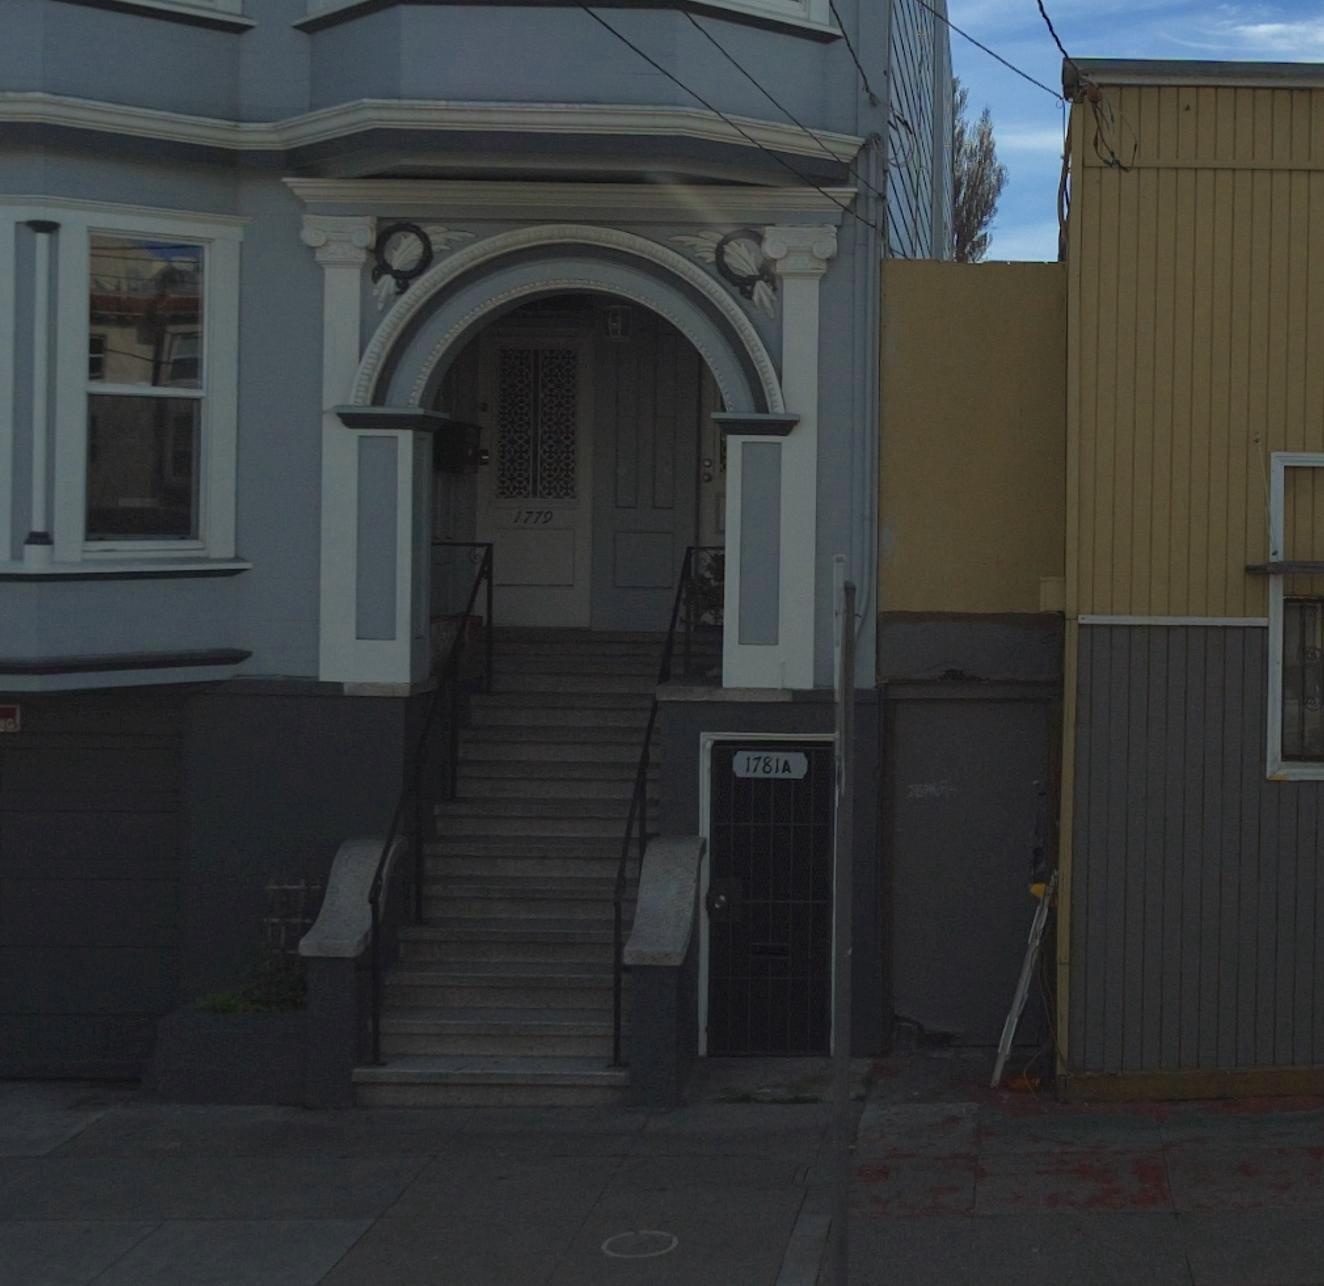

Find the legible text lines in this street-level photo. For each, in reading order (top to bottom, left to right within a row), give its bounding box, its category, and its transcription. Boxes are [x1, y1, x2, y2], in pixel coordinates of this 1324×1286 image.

[512, 509, 556, 526] StreetNumber: 1779
[744, 754, 794, 776] StreetNumber: 1781A